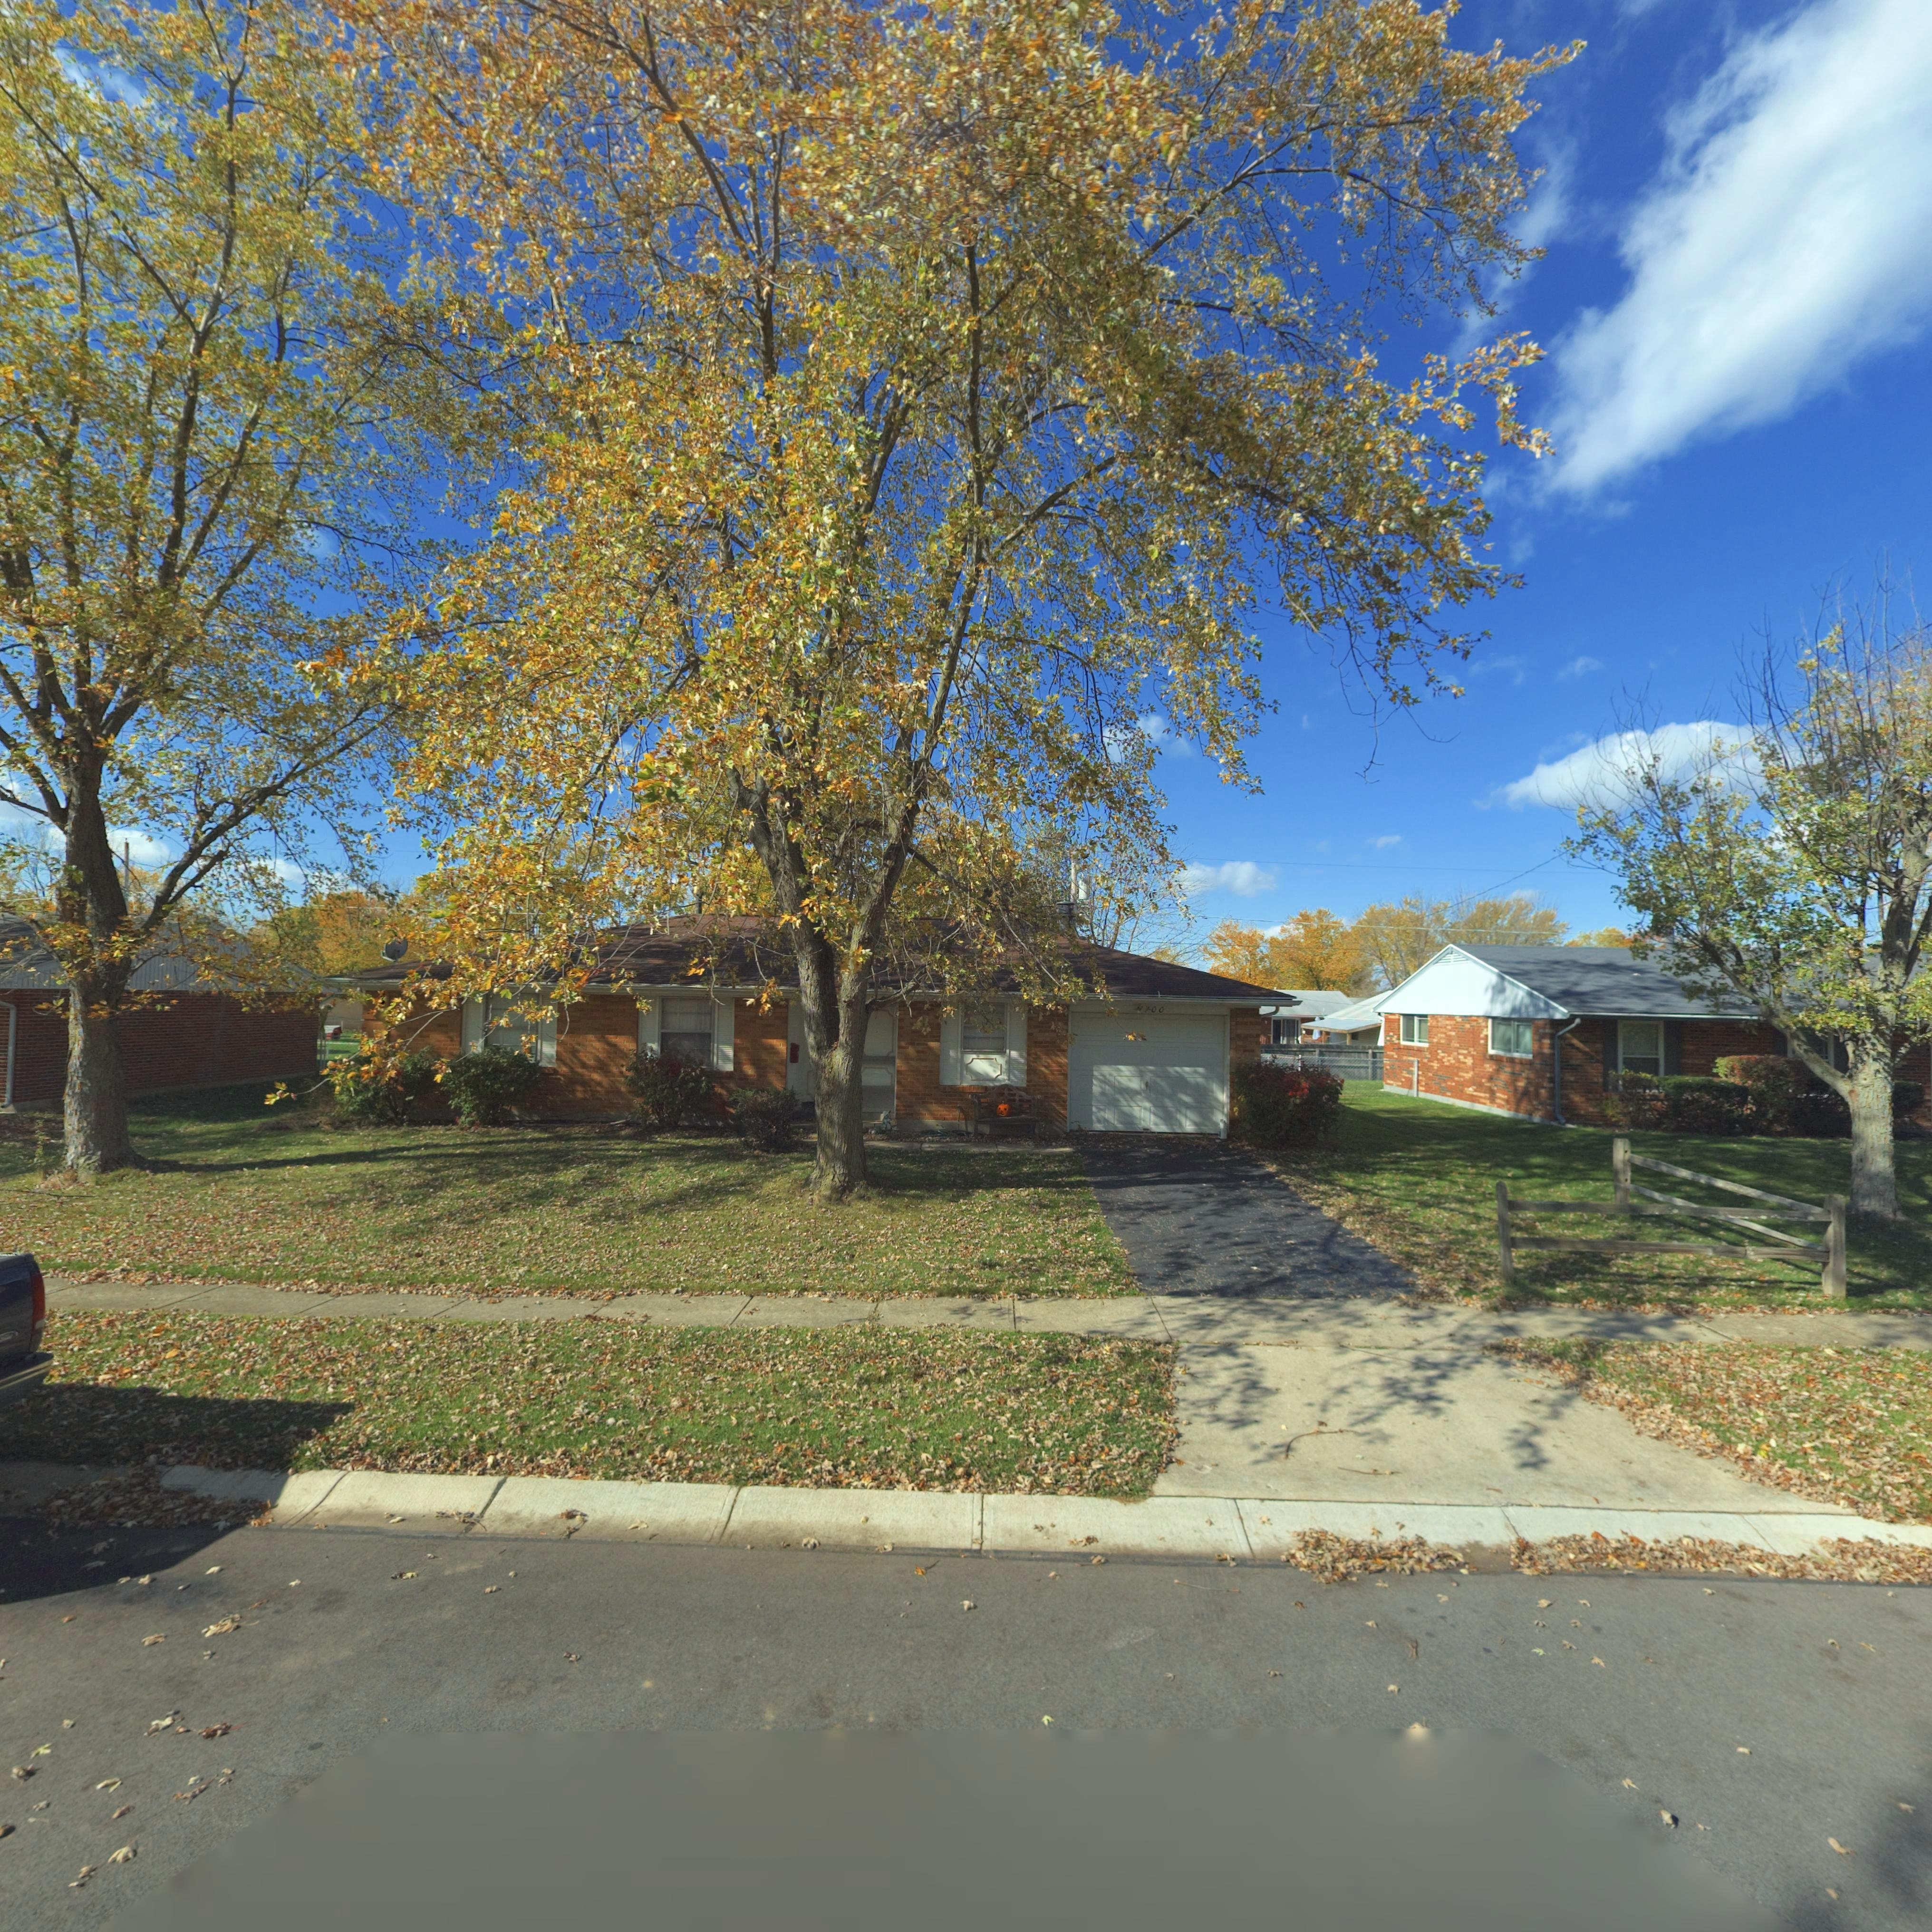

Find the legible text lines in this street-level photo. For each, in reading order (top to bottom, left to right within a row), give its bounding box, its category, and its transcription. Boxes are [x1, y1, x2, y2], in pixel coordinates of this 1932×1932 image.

[1150, 1005, 1165, 1014] StreetNumber: 00